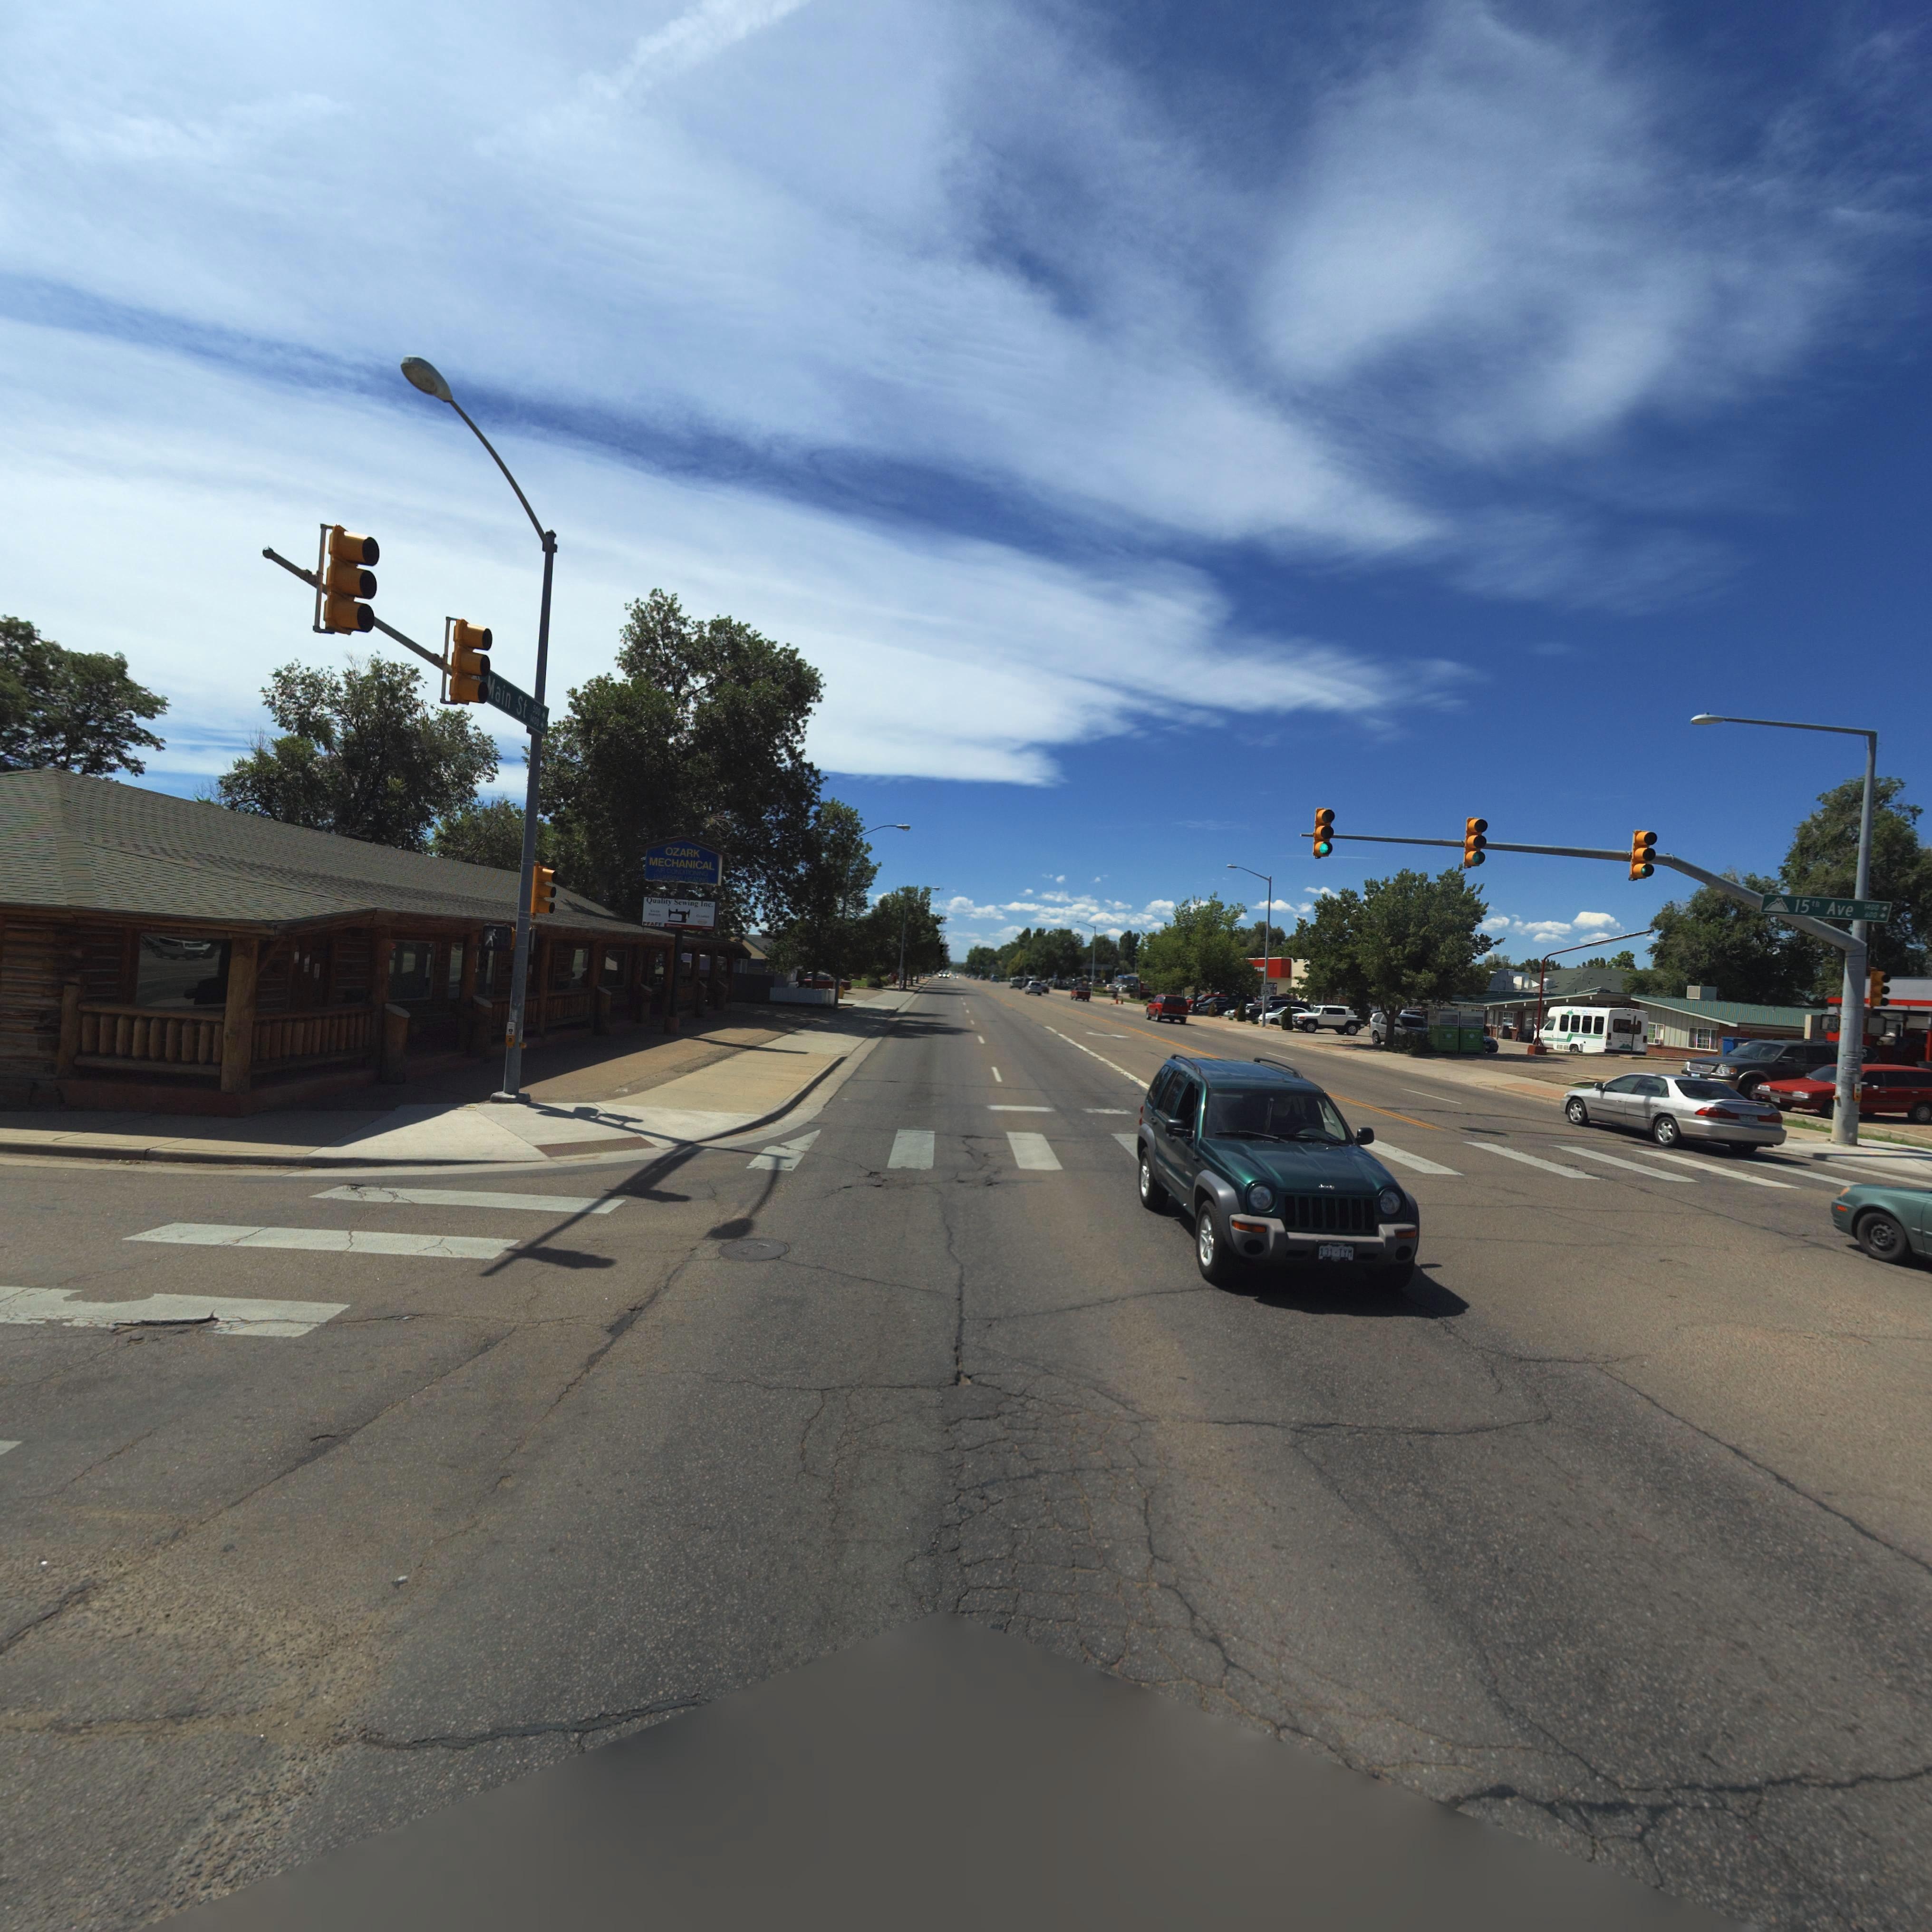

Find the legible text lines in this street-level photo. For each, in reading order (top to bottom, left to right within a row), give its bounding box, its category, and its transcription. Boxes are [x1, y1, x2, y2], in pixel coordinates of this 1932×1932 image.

[486, 675, 528, 718] StreetName: Main St
[532, 704, 541, 716] StreetNumberRange: 500
[530, 714, 545, 728] StreetNumberRange: 1400->
[665, 846, 700, 858] BusinessName: OZARK
[648, 857, 714, 870] BusinessName: MECHANICAL
[646, 896, 714, 908] BusinessName: Quality Sewing Inc.
[1794, 899, 1854, 917] StreetName: 15th Ave
[1864, 903, 1879, 911] StreetNumberRange: 1400
[1864, 911, 1886, 918] StreetNumberRange: 600->